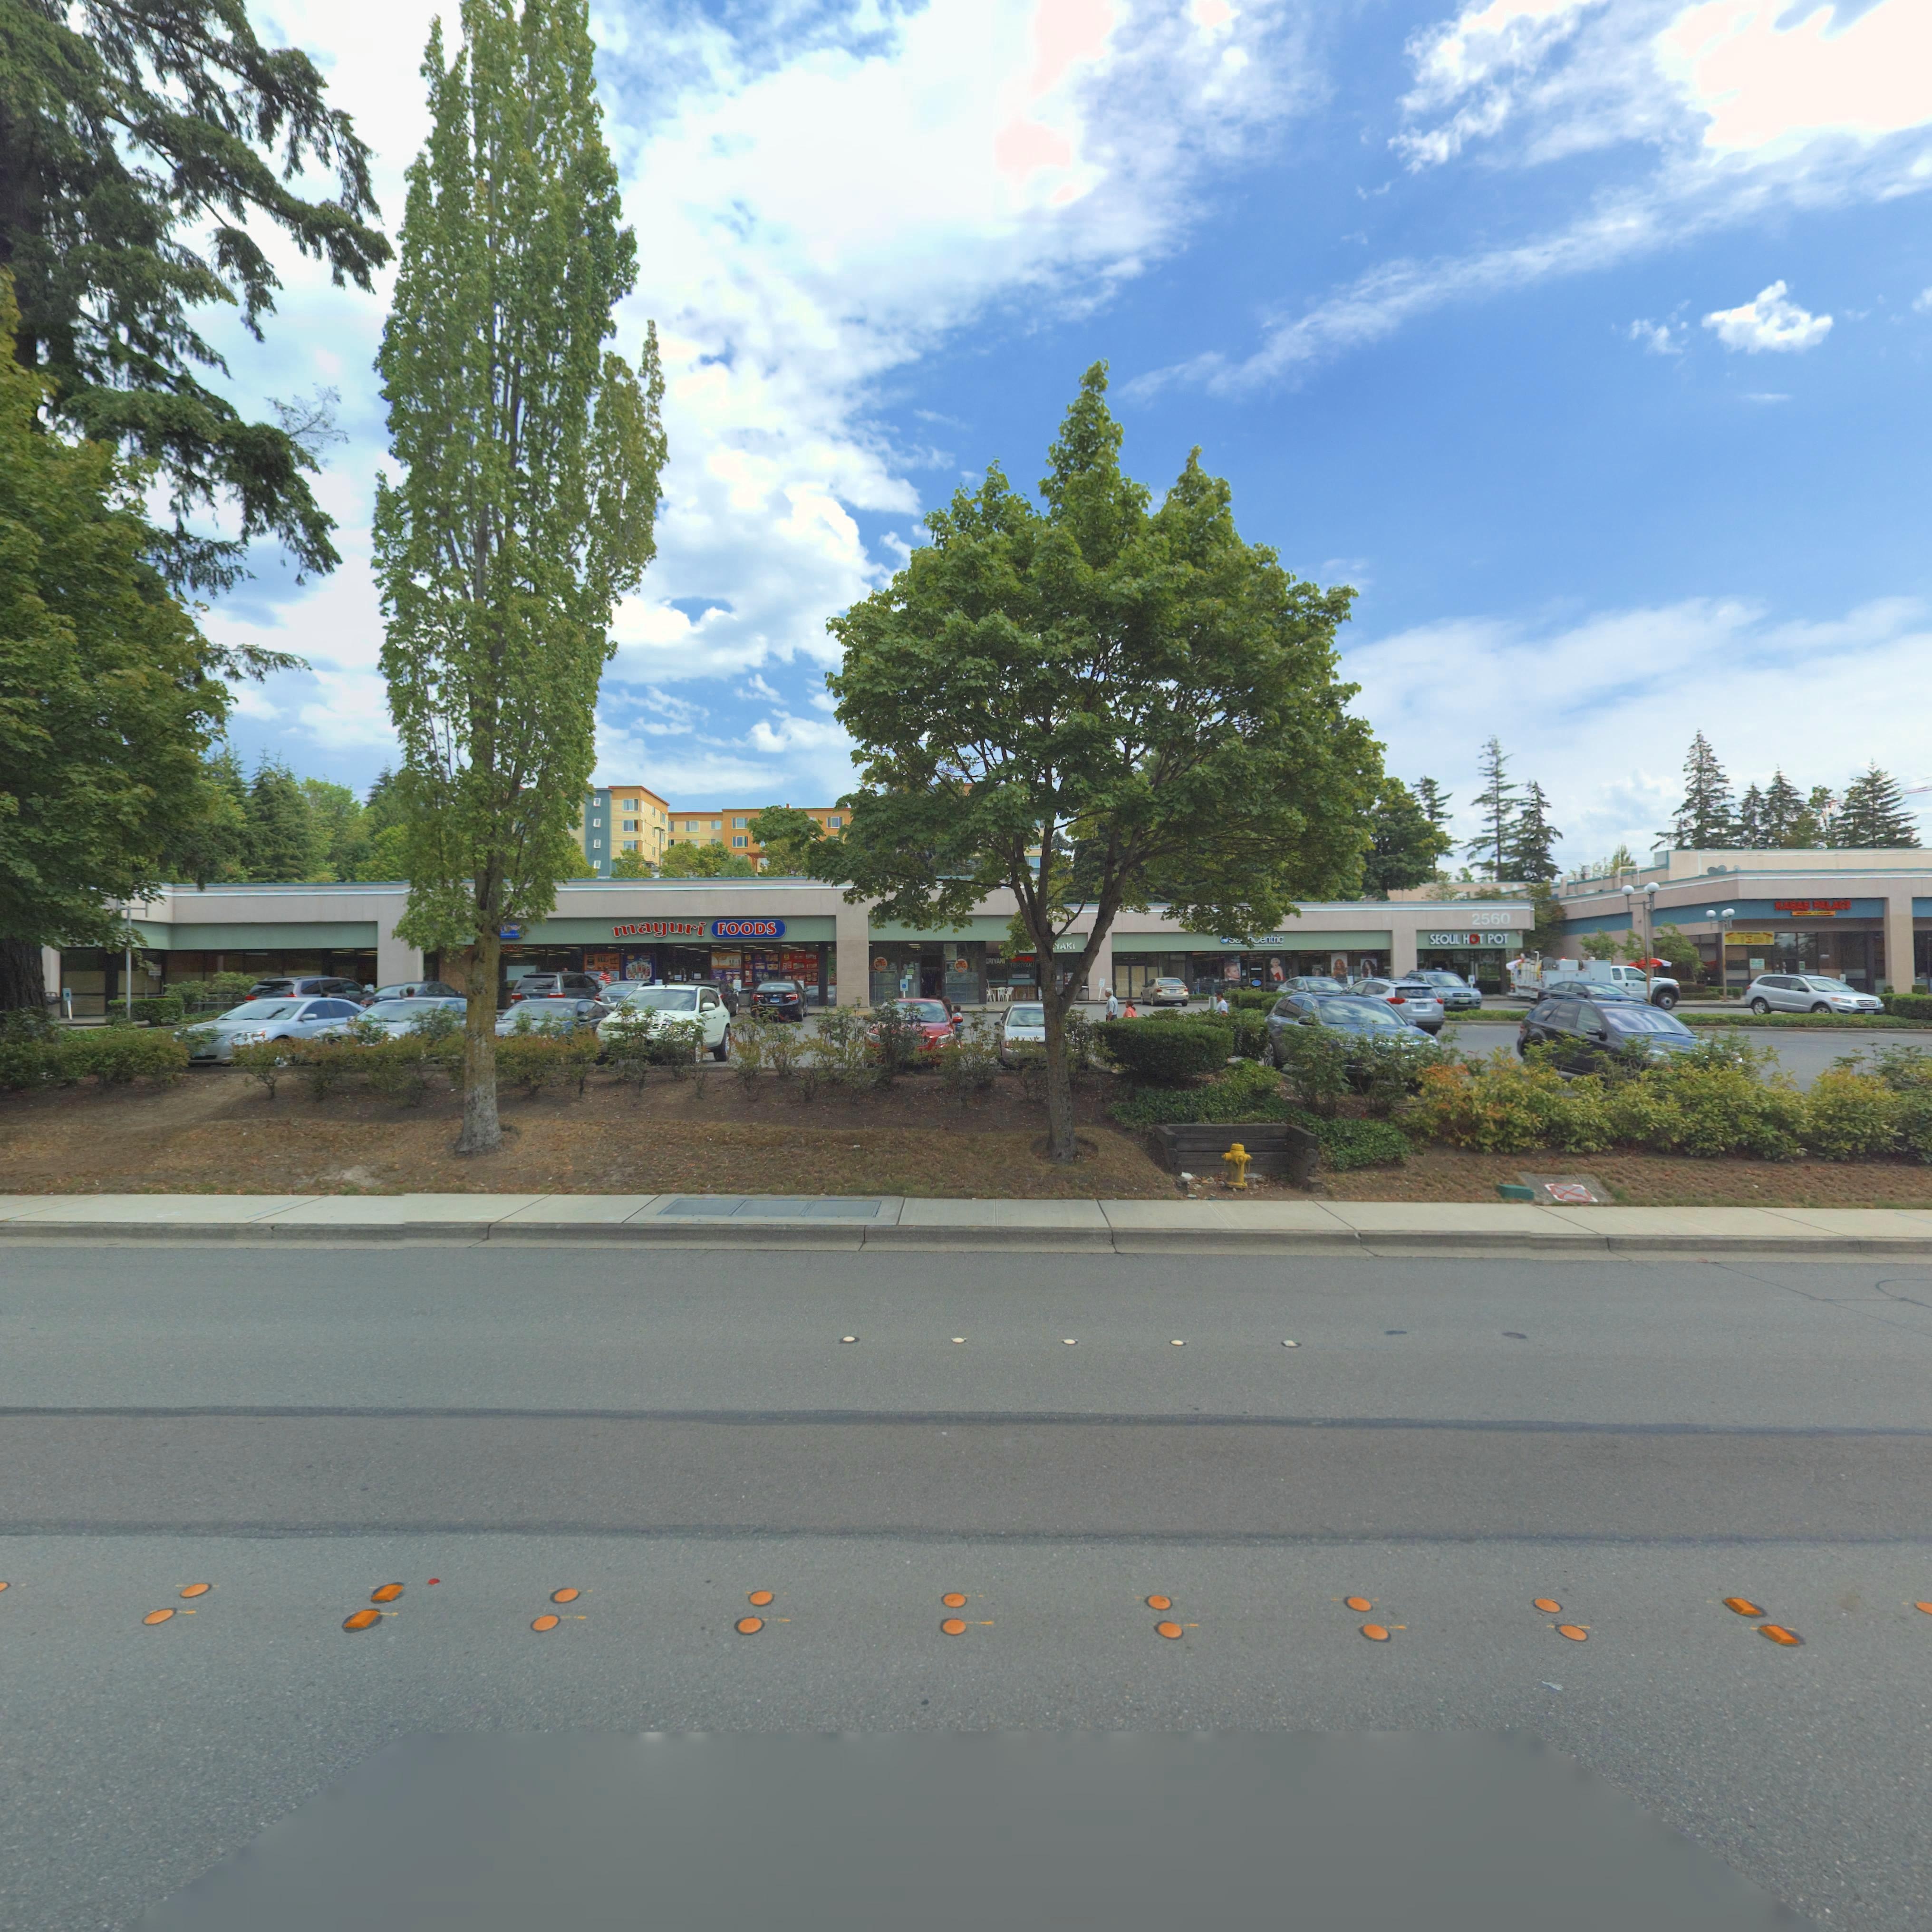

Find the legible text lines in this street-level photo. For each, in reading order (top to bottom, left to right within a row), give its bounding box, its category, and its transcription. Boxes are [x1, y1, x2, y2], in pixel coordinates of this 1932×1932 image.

[1774, 900, 1851, 910] BusinessName: KABAB P*LAC*
[1472, 913, 1509, 924] StreetNumber: 2560
[611, 922, 706, 939] BusinessName: mayuri
[717, 922, 776, 936] BusinessName: FOODS
[1227, 935, 1284, 943] BusinessName: ******entric
[1430, 934, 1509, 944] BusinessName: SEOUL HOT POT
[1053, 942, 1076, 949] BusinessName: YAKI